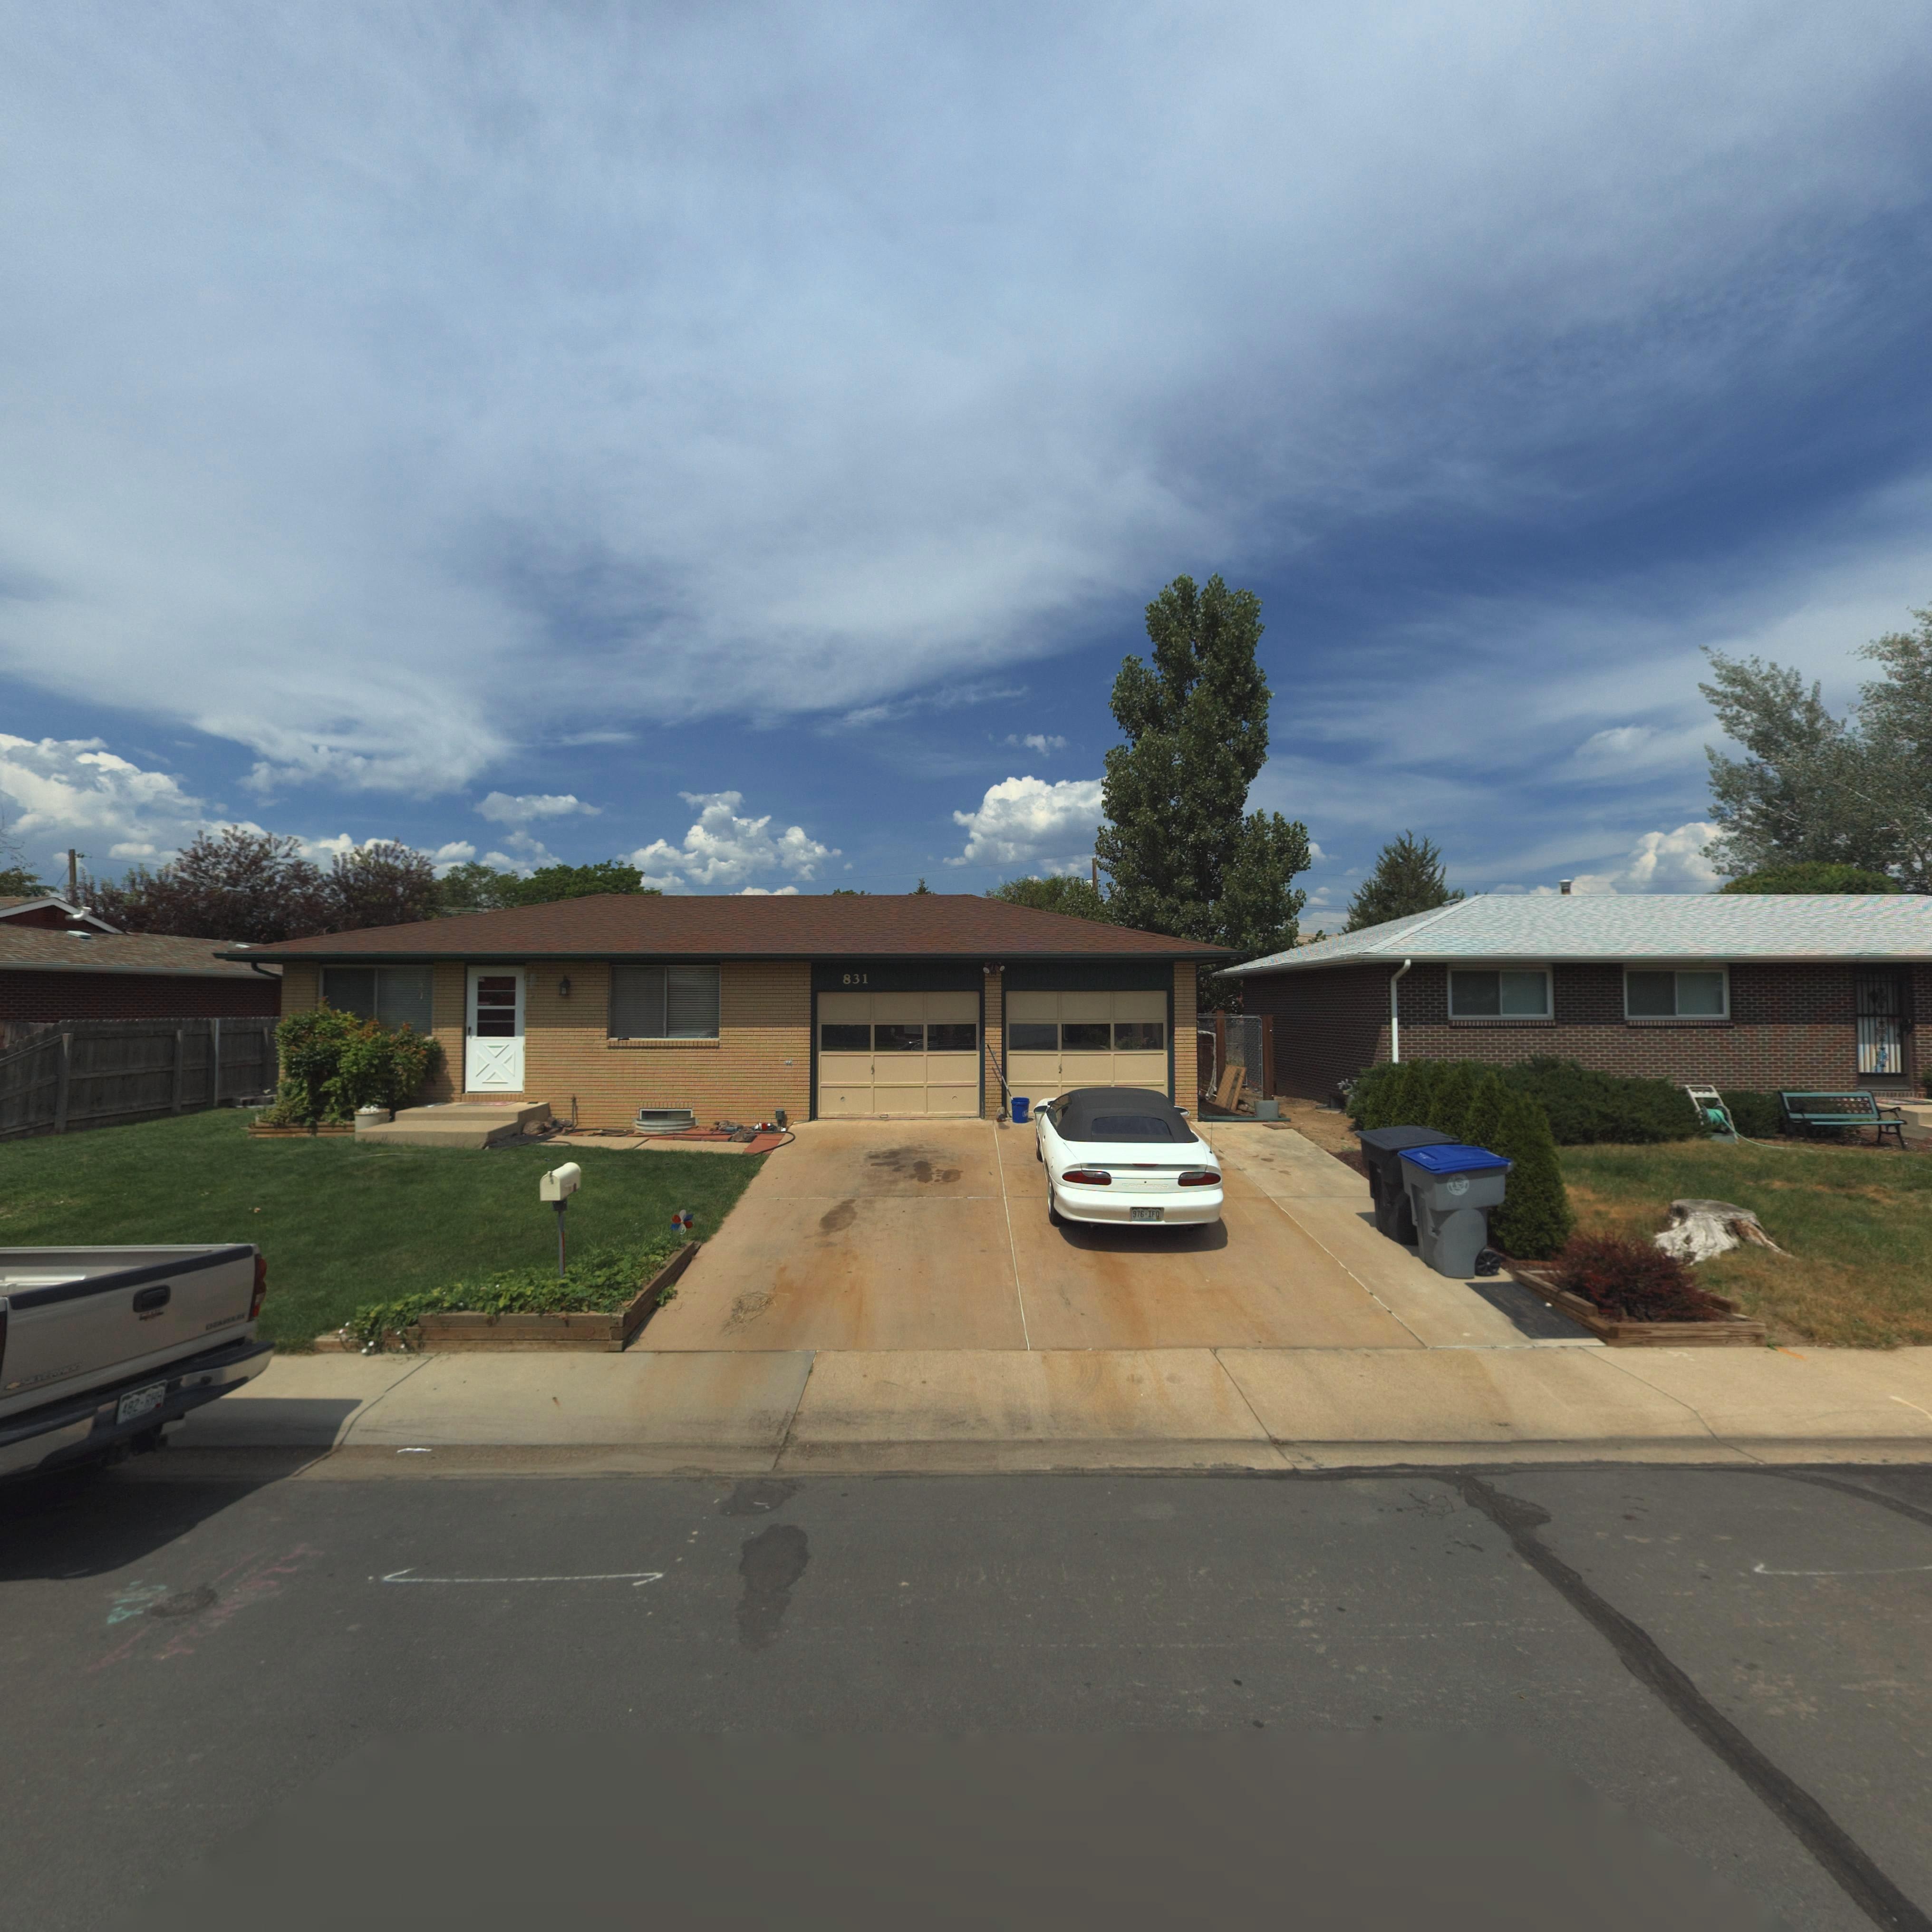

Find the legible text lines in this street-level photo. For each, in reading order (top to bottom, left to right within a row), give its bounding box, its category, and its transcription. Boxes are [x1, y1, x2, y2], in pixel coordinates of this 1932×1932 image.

[841, 973, 869, 985] StreetNumber: 831